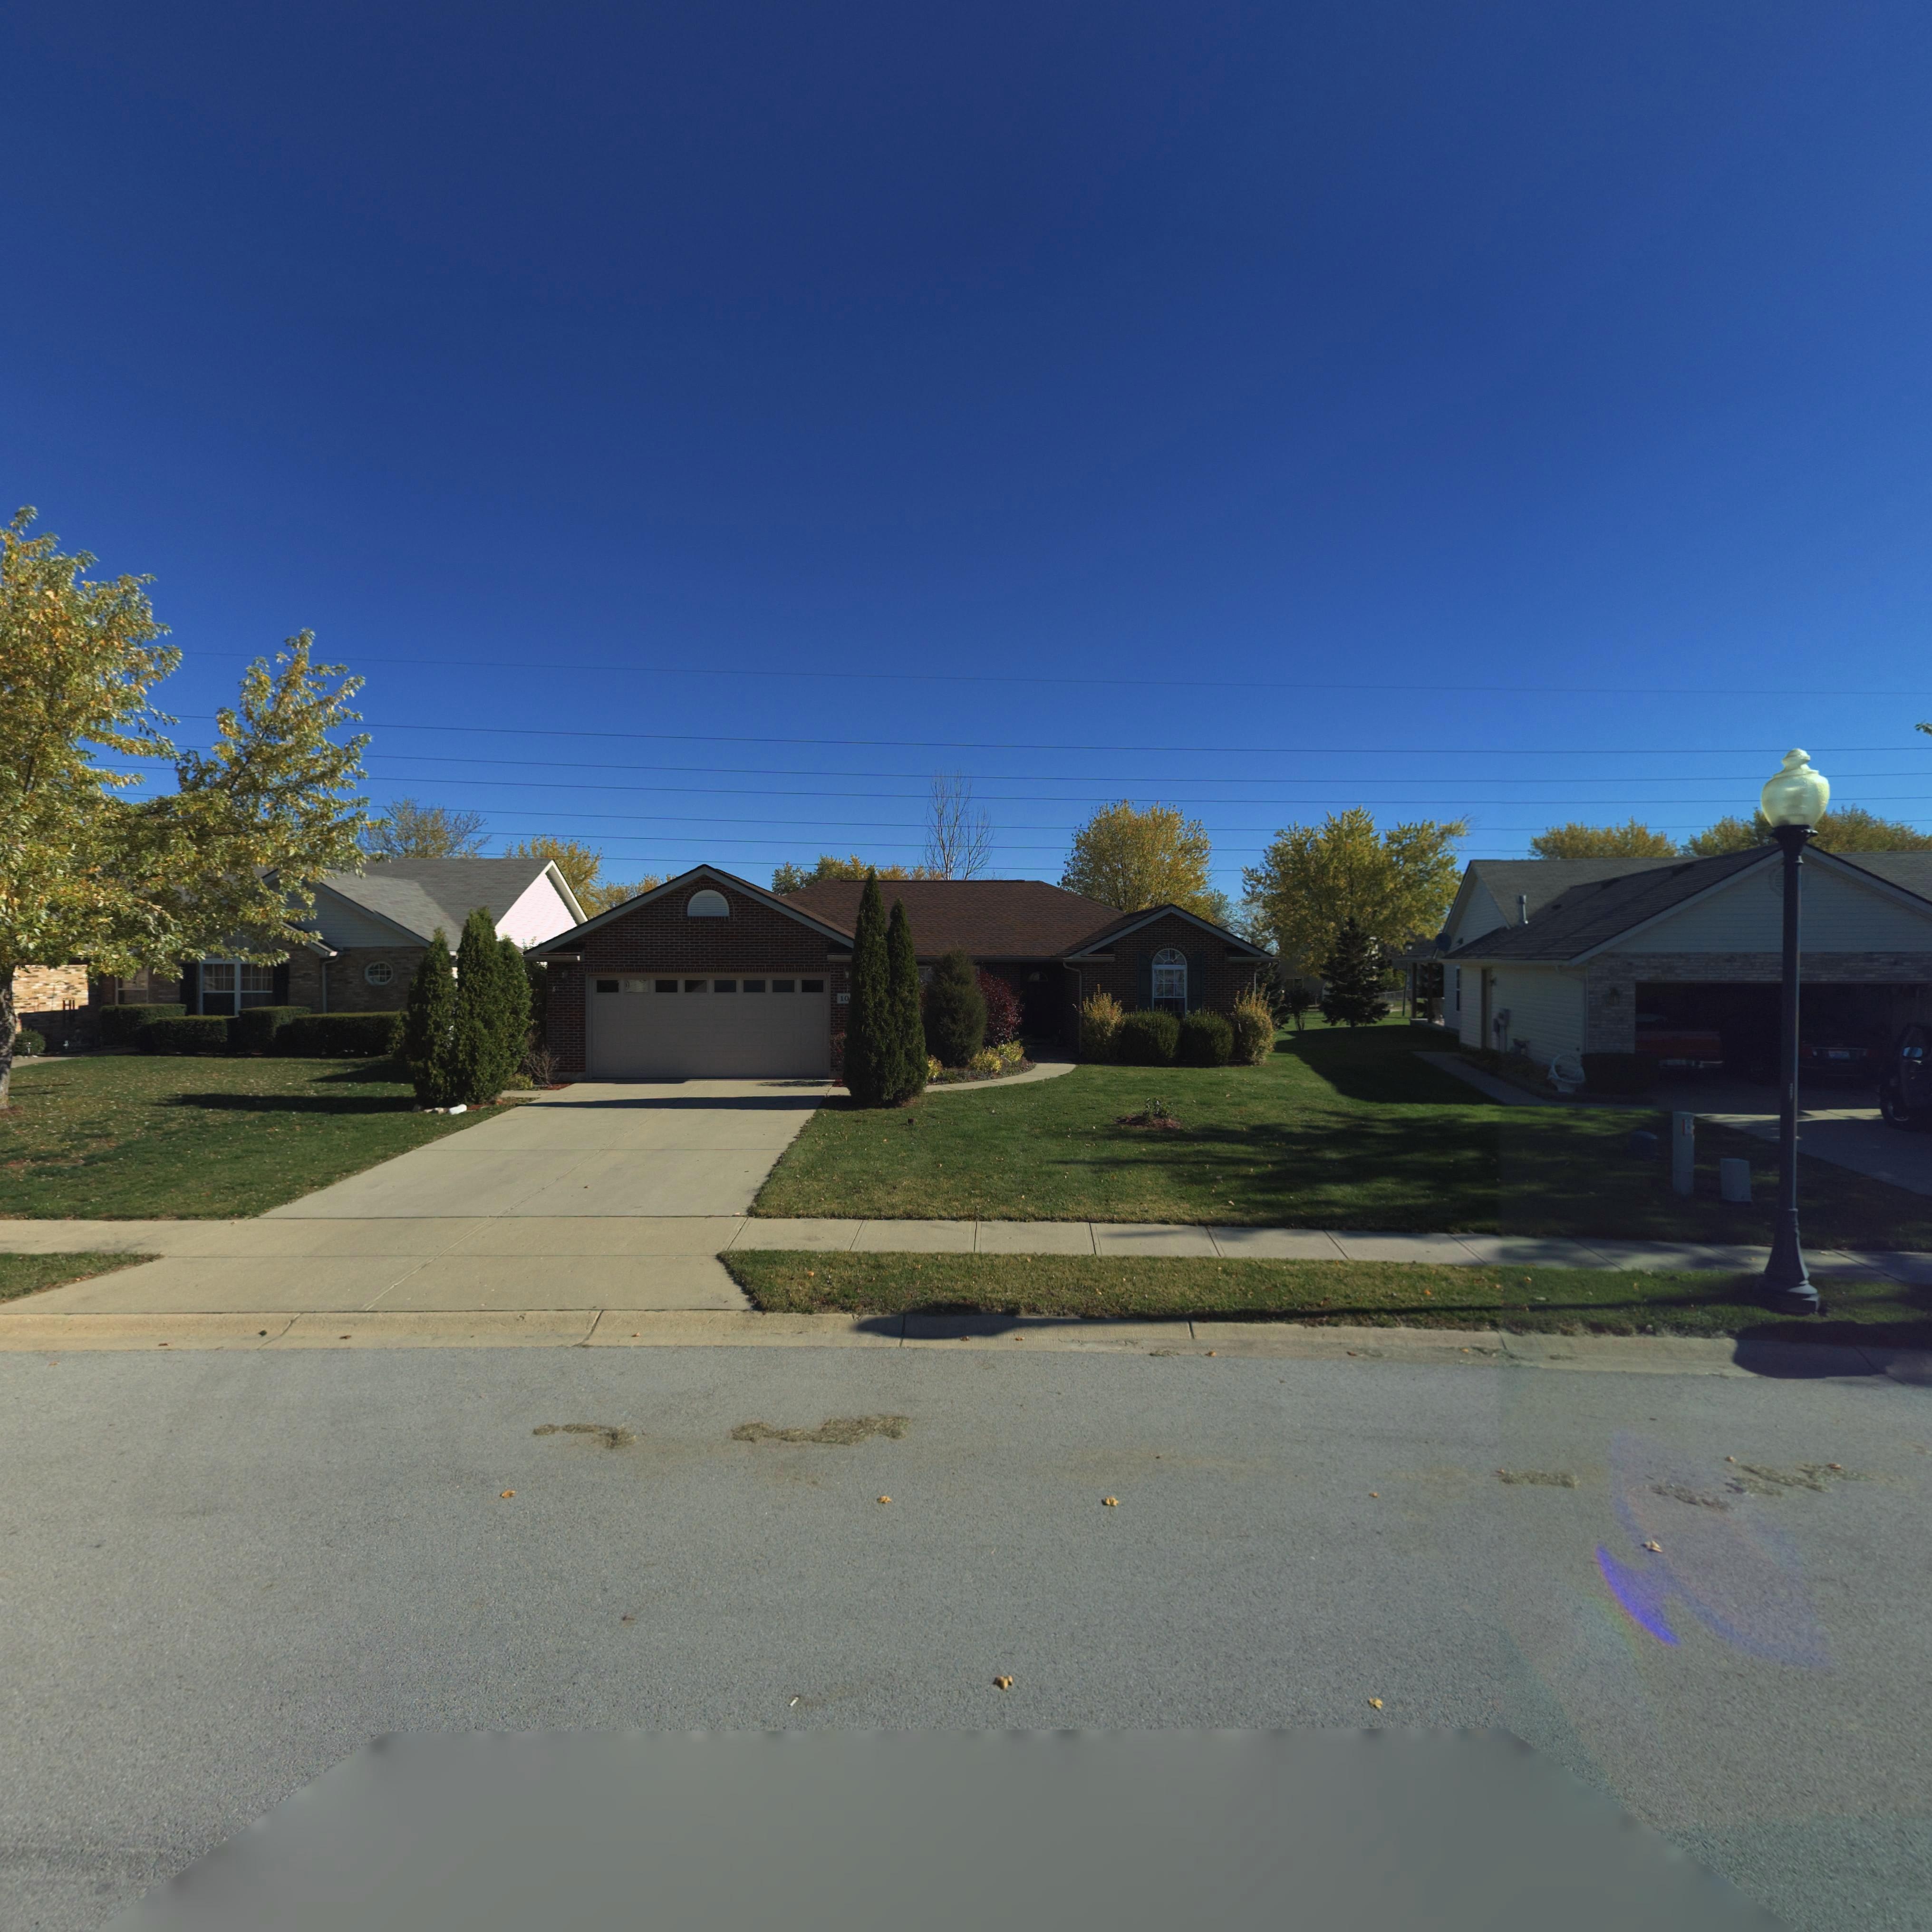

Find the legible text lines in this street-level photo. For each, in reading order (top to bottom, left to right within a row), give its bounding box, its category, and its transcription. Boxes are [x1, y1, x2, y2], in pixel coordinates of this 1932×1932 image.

[840, 995, 850, 1002] StreetNumber: 10